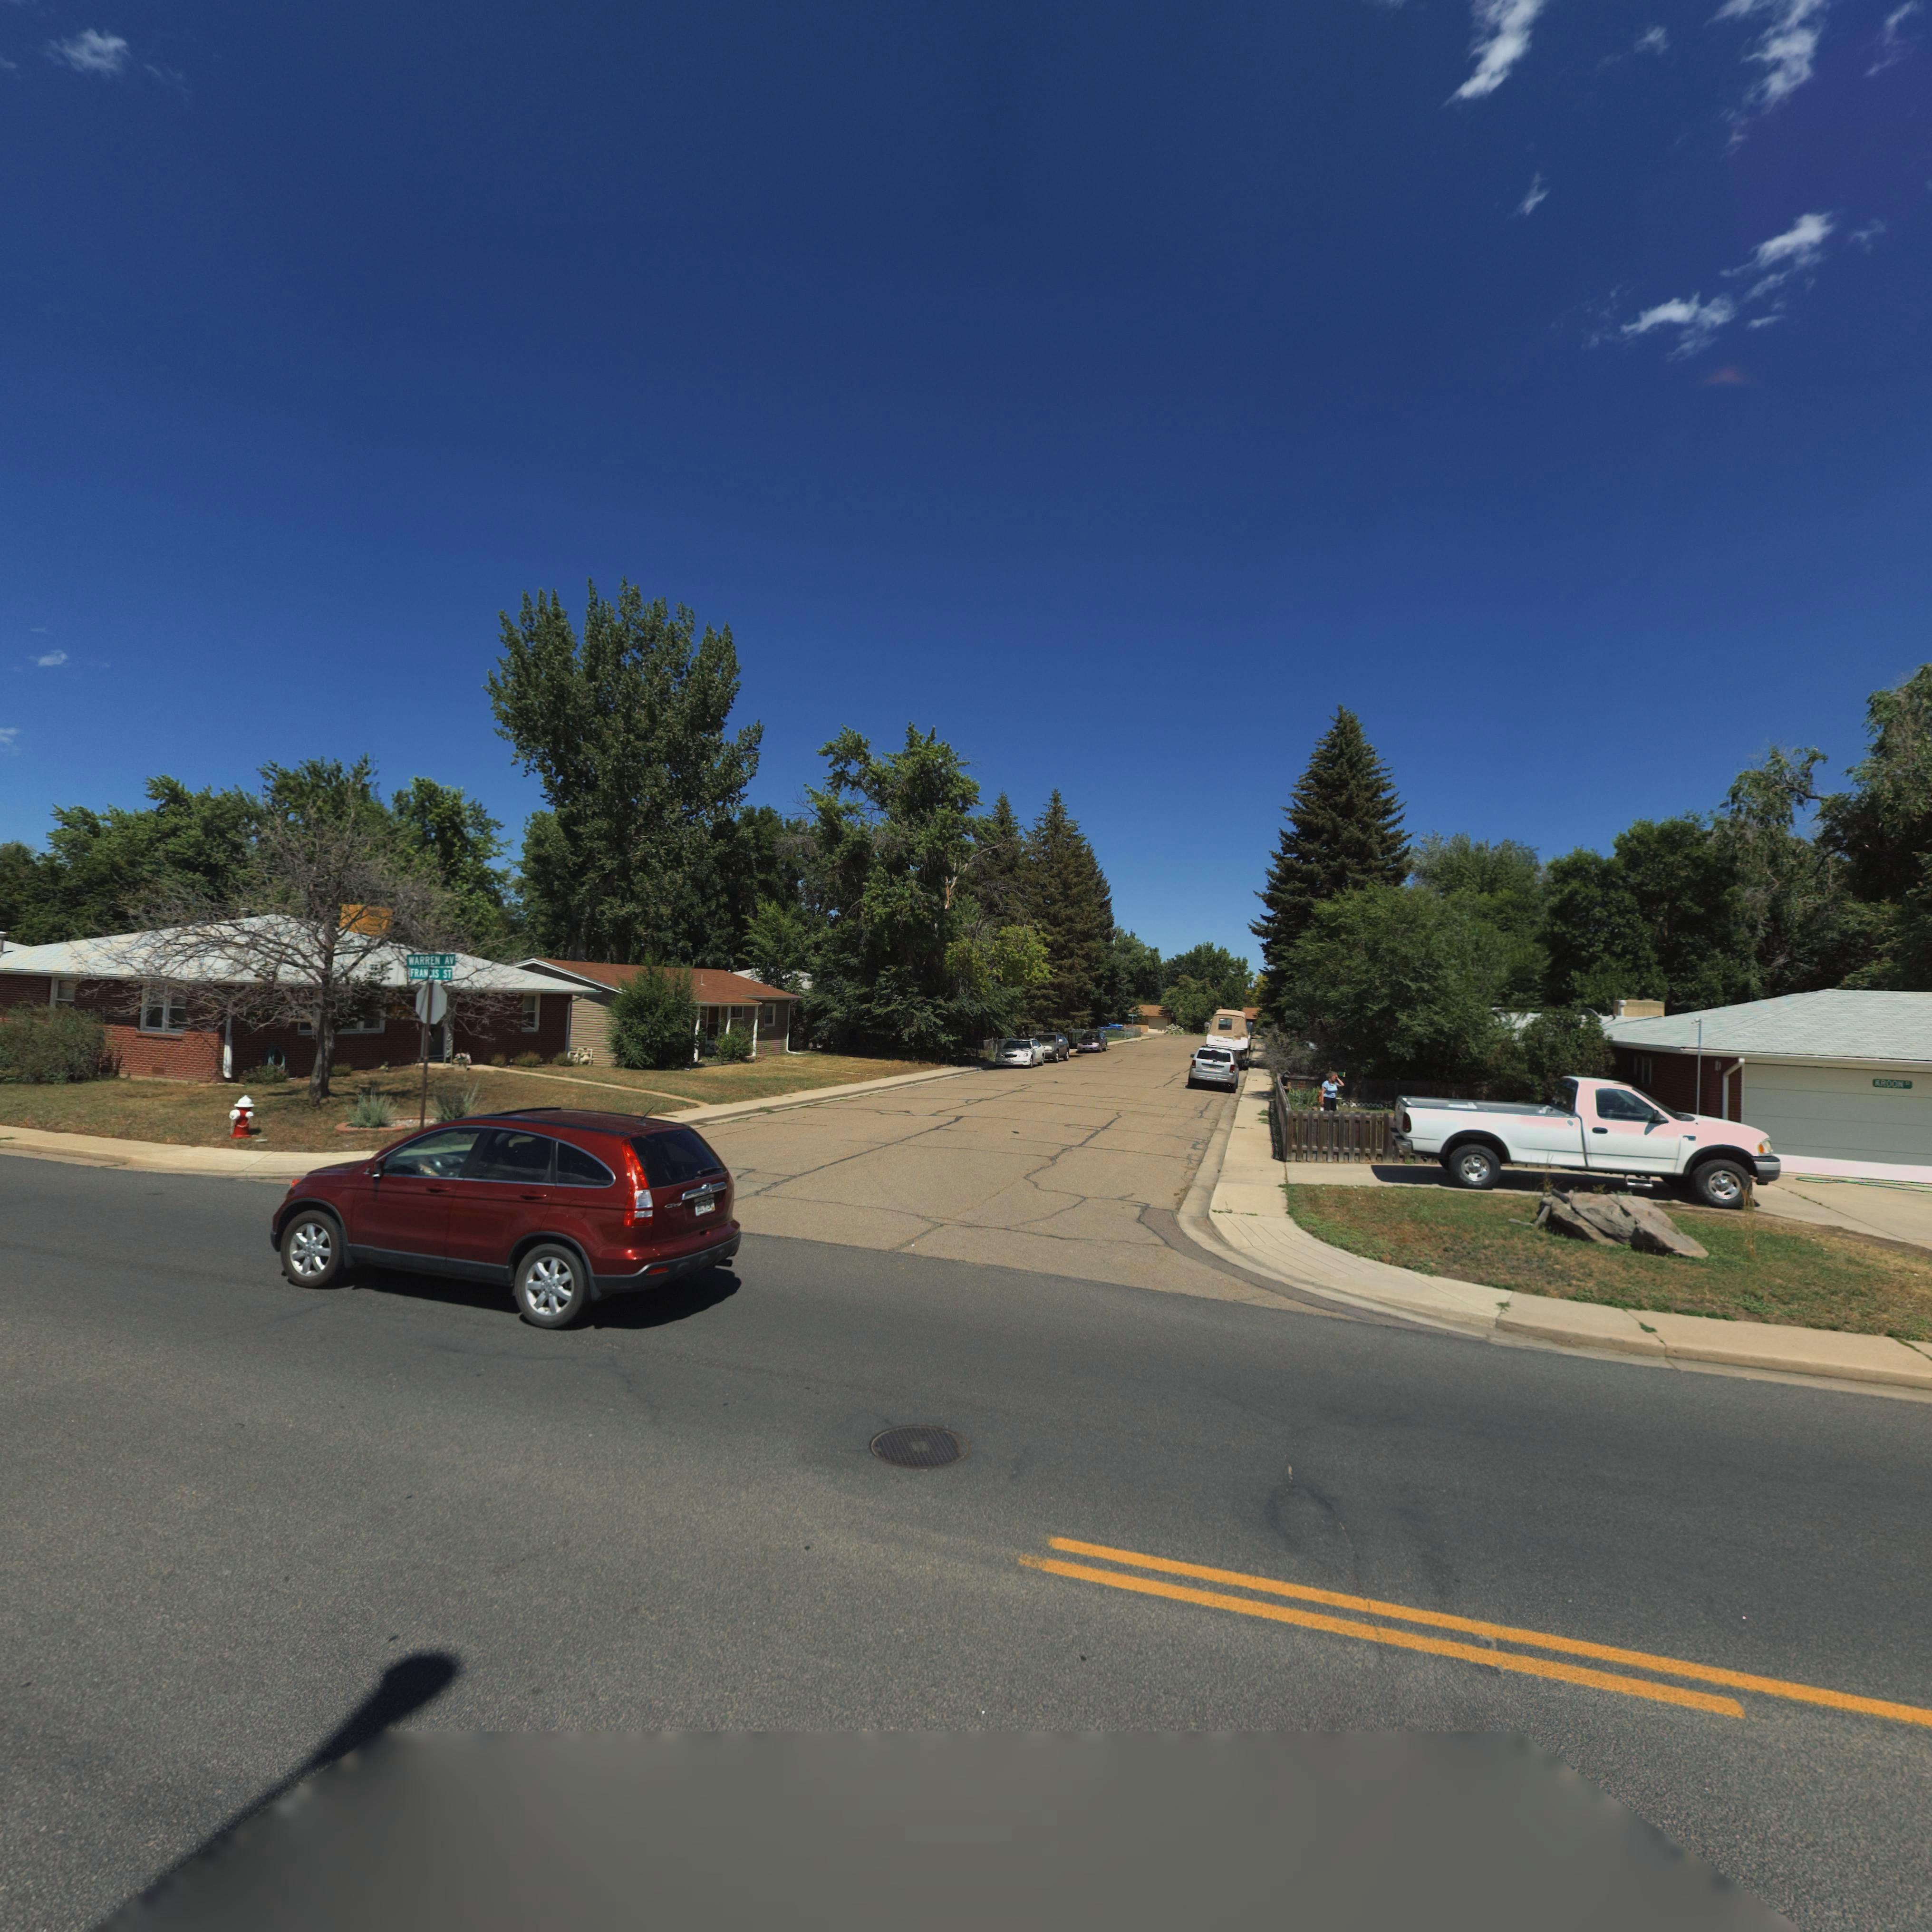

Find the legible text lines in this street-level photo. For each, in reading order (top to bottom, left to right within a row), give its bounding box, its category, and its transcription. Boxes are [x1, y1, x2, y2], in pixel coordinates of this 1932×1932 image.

[408, 956, 454, 966] StreetName: WARREN AV
[410, 968, 452, 978] StreetName: FRANCIS ST